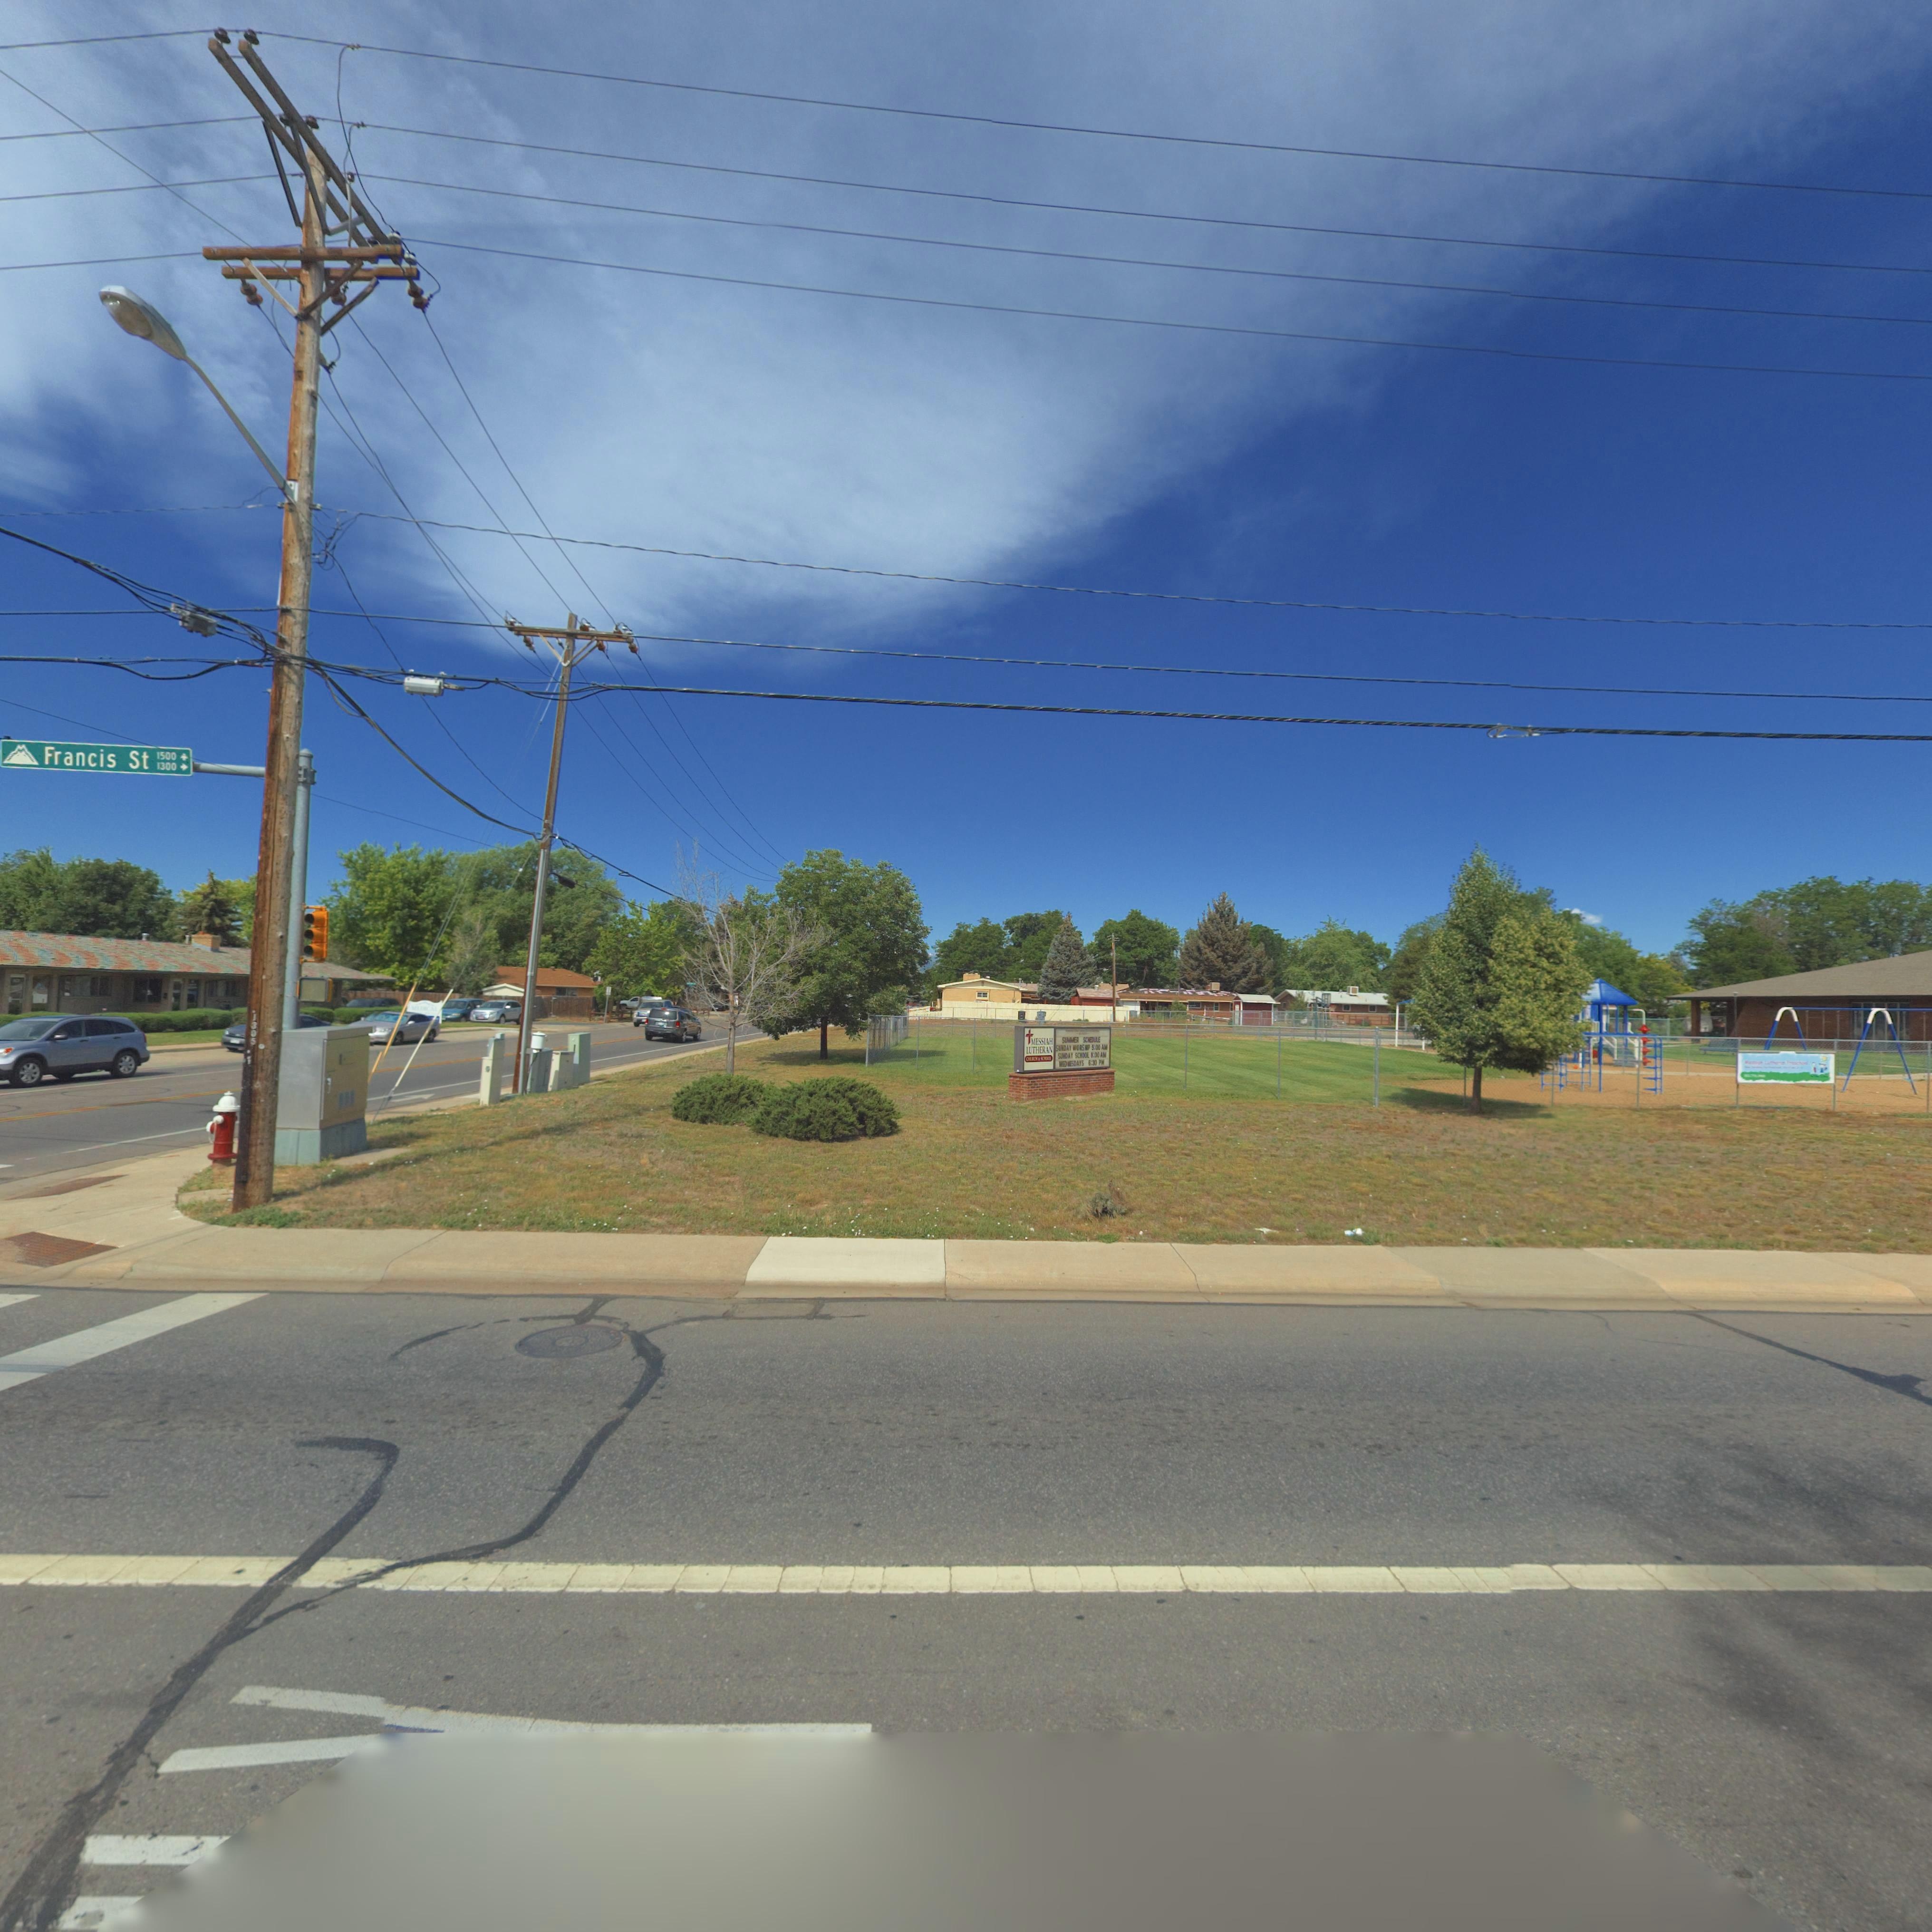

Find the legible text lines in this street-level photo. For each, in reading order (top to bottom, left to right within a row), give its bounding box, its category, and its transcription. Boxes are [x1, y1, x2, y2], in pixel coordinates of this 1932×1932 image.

[44, 746, 149, 770] StreetName: Francis St
[157, 751, 176, 760] StreetNumberRange: 1500
[156, 762, 188, 771] StreetNumberRange: 1300->
[1030, 1037, 1053, 1045] BusinessName: MESSIAH
[1025, 1045, 1053, 1054] BusinessName: LUTHERAN
[1026, 1056, 1051, 1061] BusinessName: CHURCH * SCHOOL